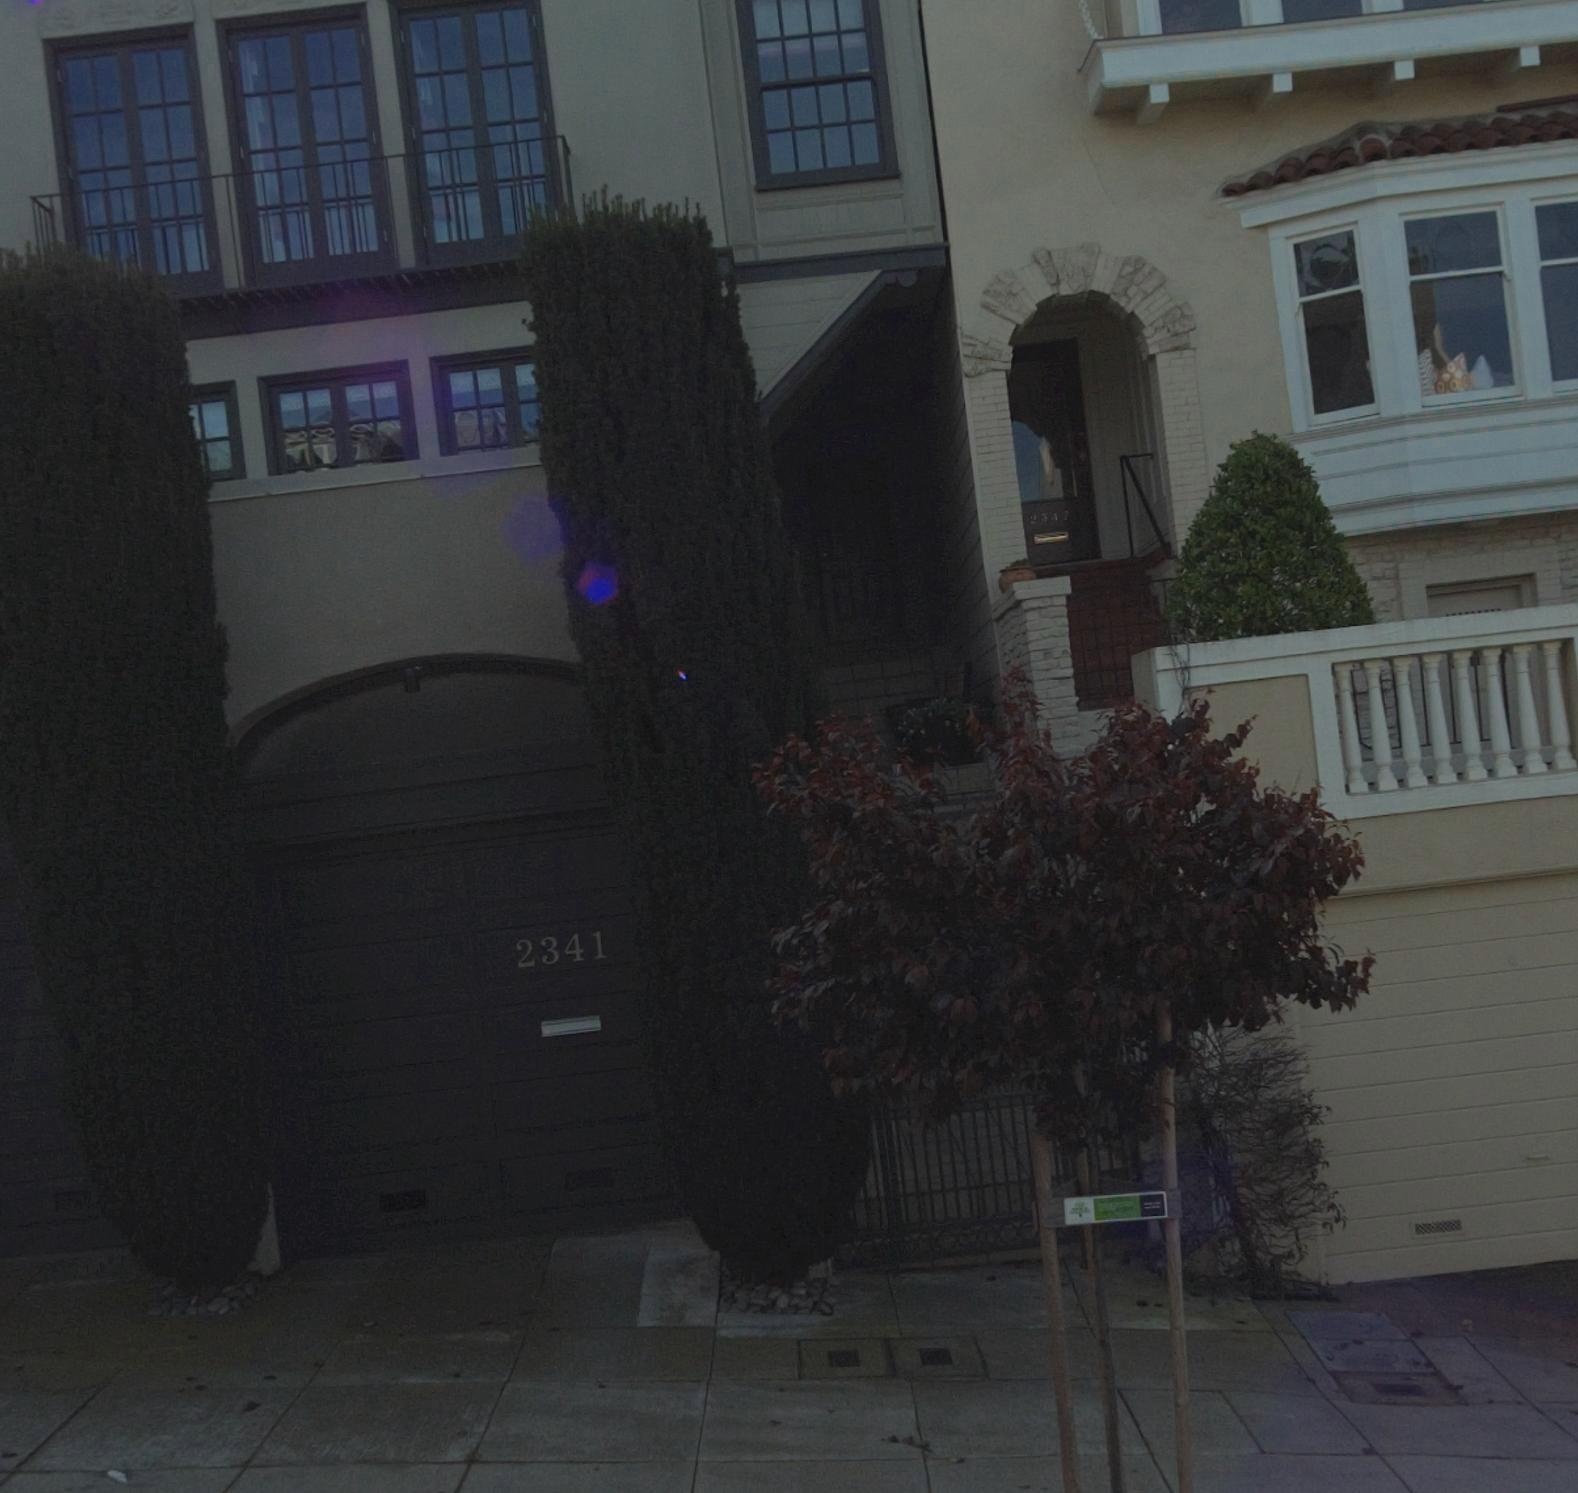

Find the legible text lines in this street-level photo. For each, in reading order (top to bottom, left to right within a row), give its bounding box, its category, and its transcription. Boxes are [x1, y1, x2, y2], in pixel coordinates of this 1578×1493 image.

[1028, 507, 1072, 527] StreetNumber: 2347
[513, 927, 611, 971] StreetNumber: 2341